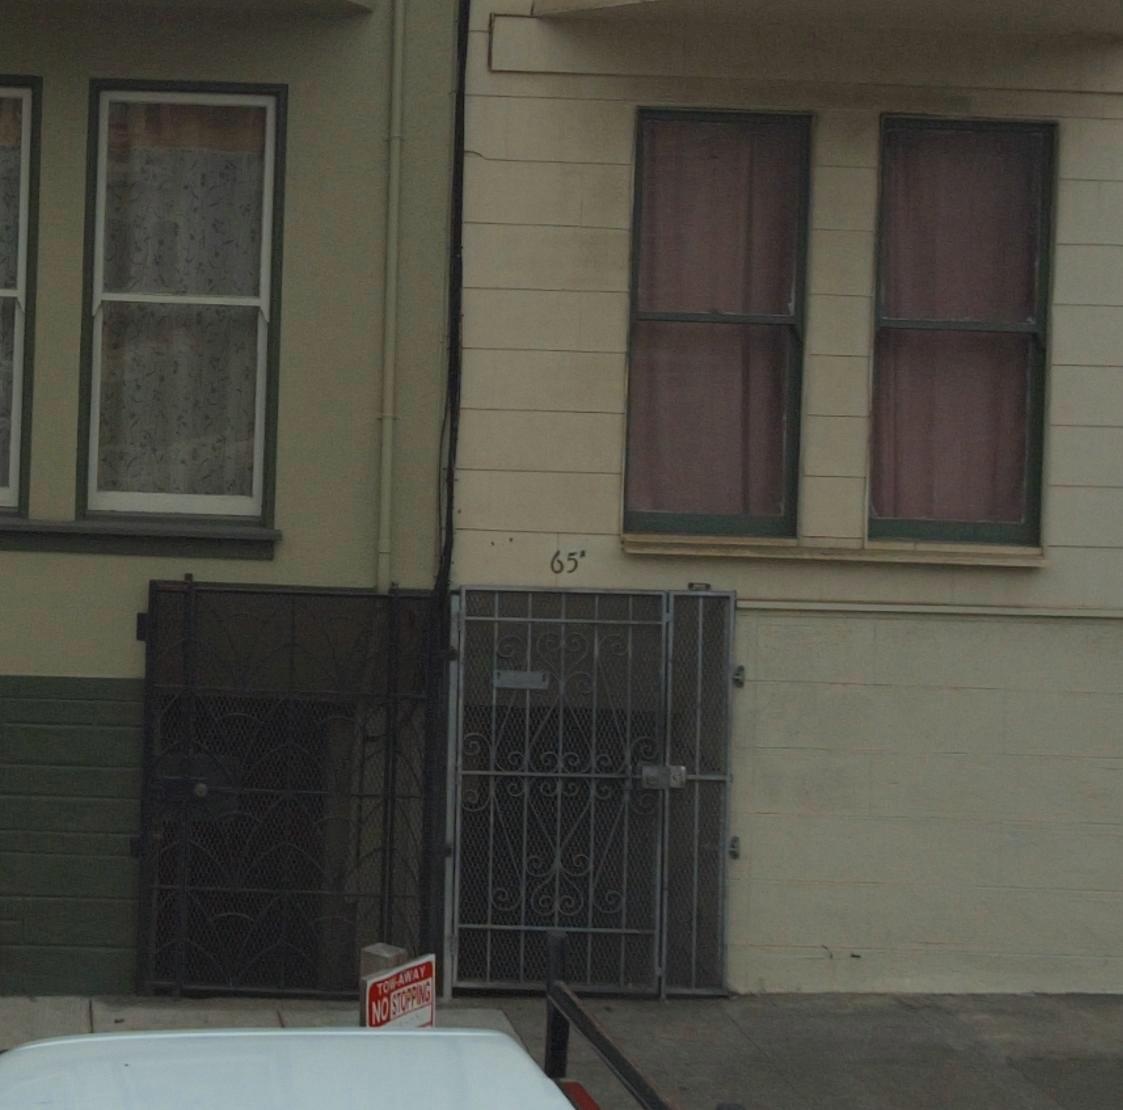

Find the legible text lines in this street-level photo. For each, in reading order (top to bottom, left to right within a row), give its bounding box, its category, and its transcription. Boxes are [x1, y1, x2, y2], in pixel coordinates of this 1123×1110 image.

[550, 549, 579, 575] StreetNumber: 65
[373, 962, 427, 998] None: TOW-AWAY
[370, 978, 432, 1028] None: NO STOPPING